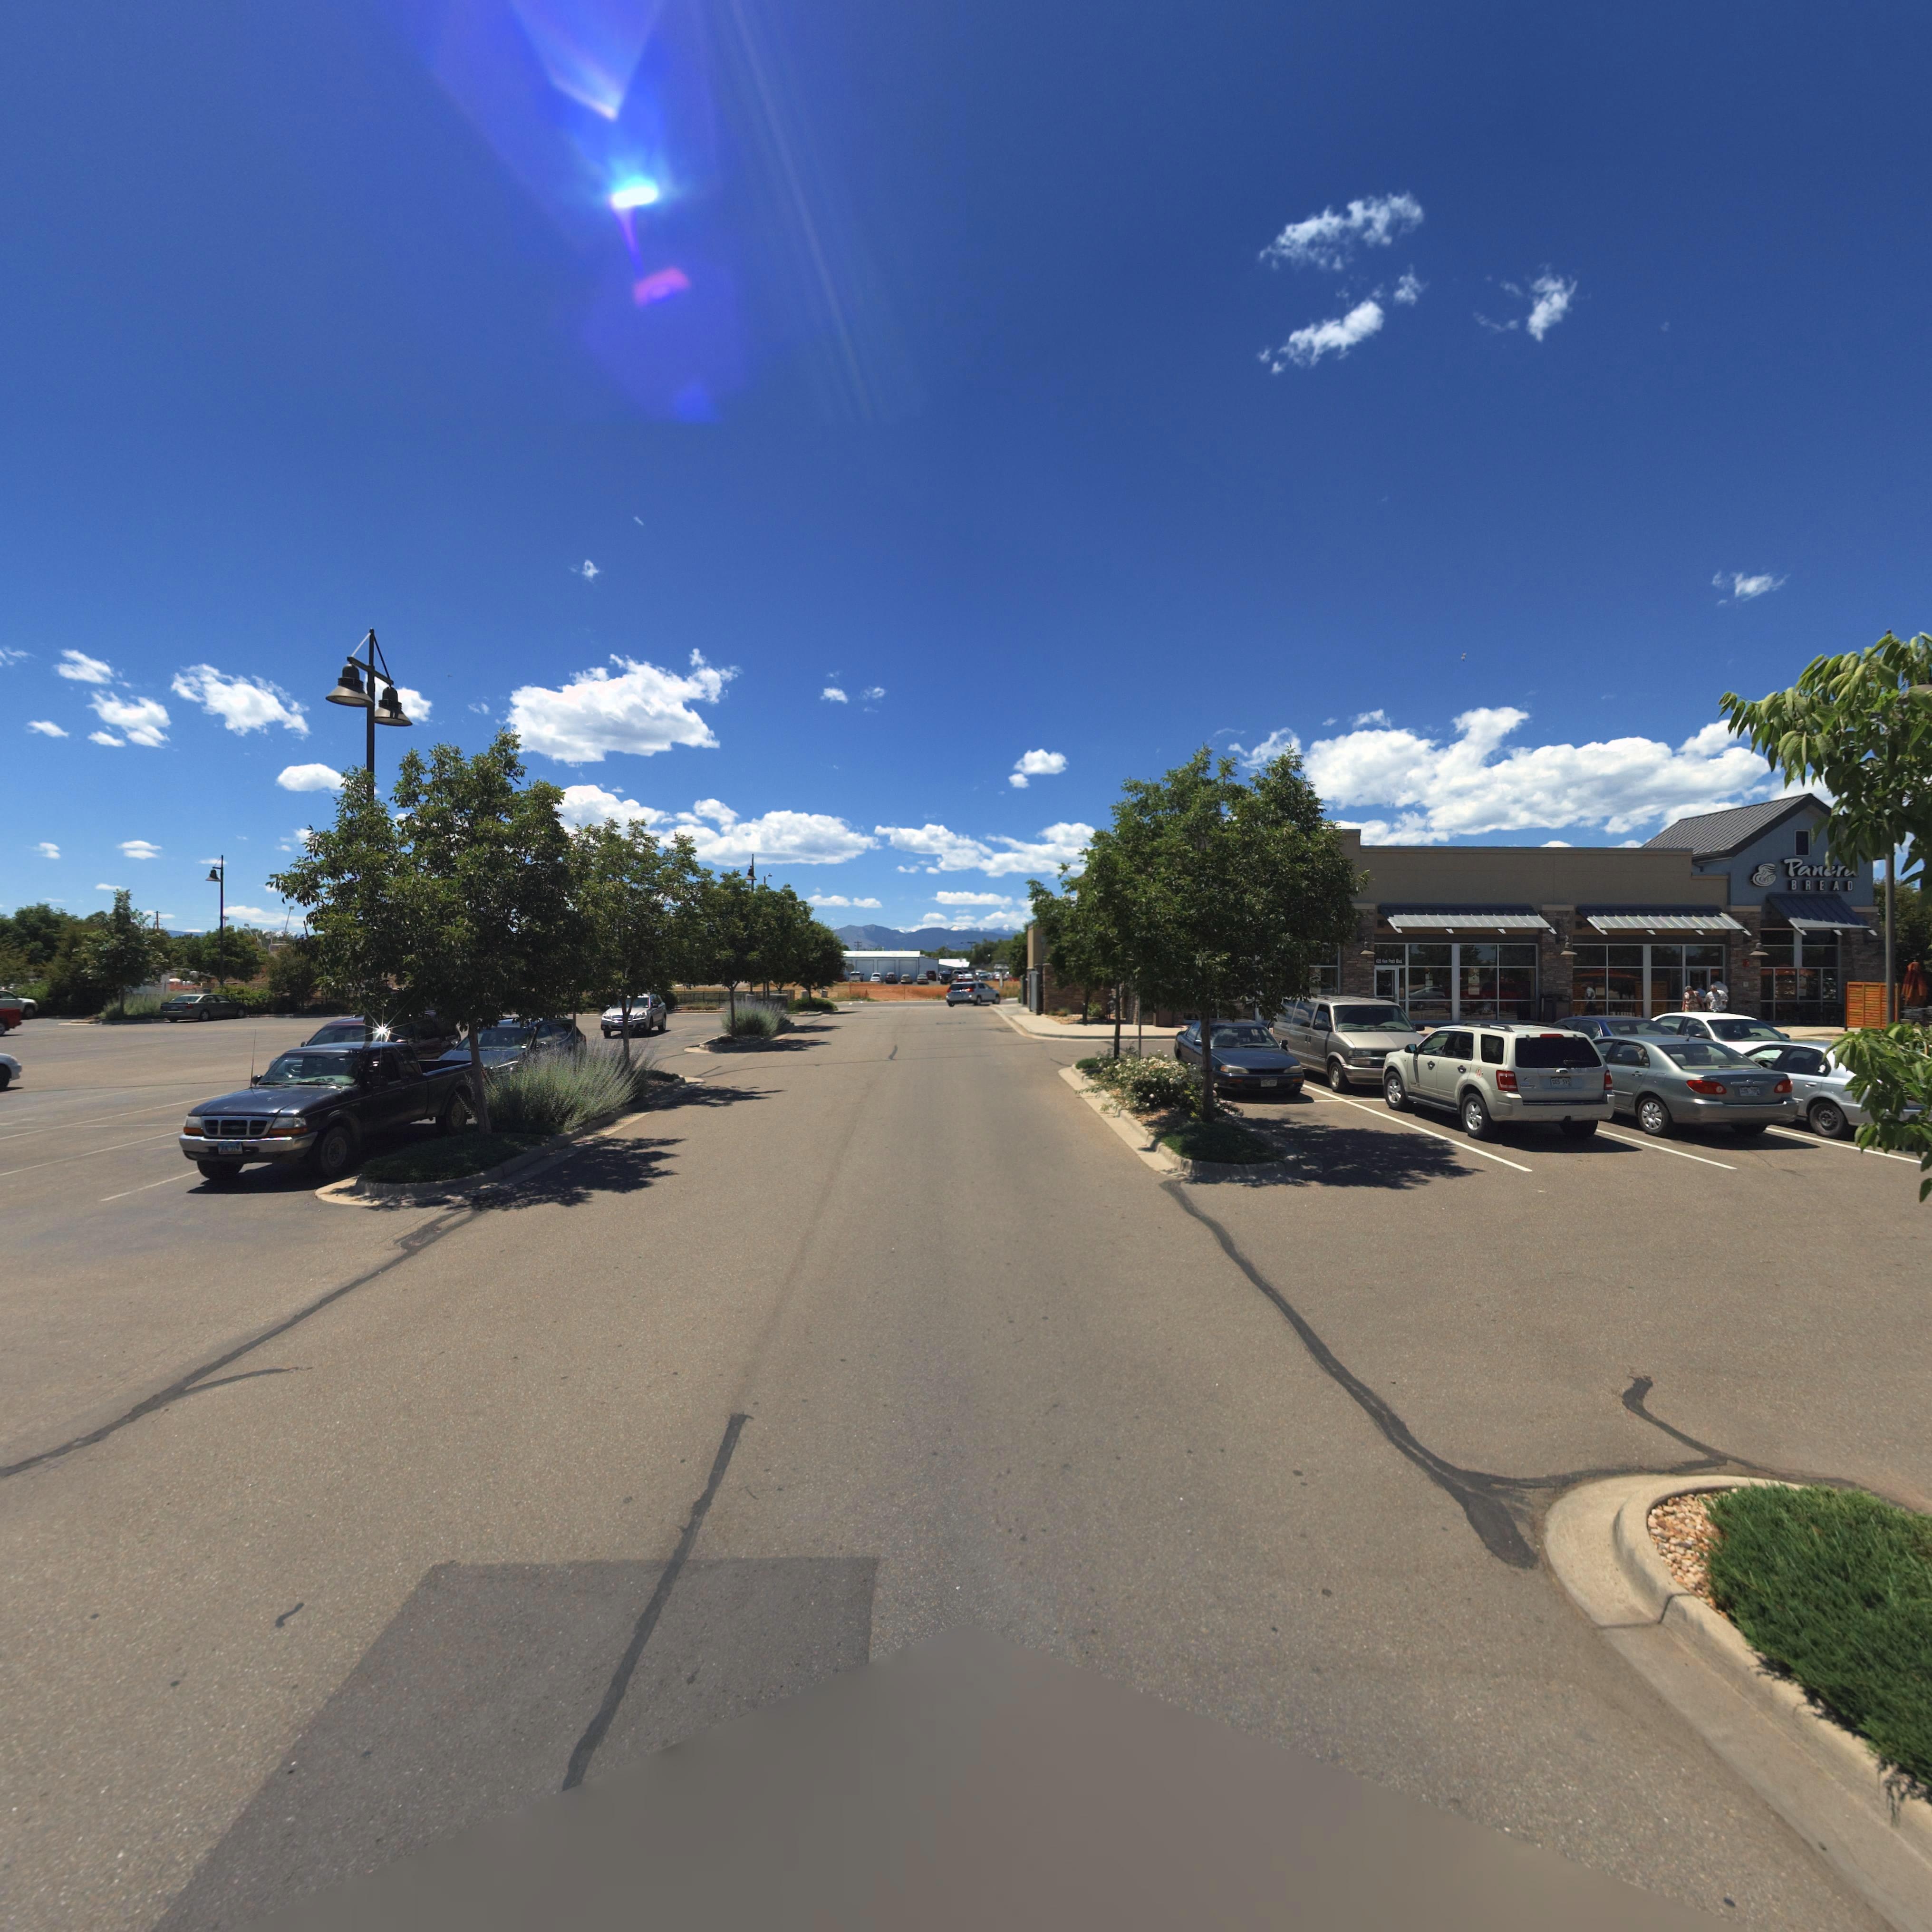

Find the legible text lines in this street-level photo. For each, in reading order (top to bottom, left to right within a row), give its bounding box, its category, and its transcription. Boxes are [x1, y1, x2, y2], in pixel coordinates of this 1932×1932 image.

[1784, 858, 1848, 877] BusinessName: Paner
[1382, 958, 1401, 963] StreetName: Ken Pratt Blvd.